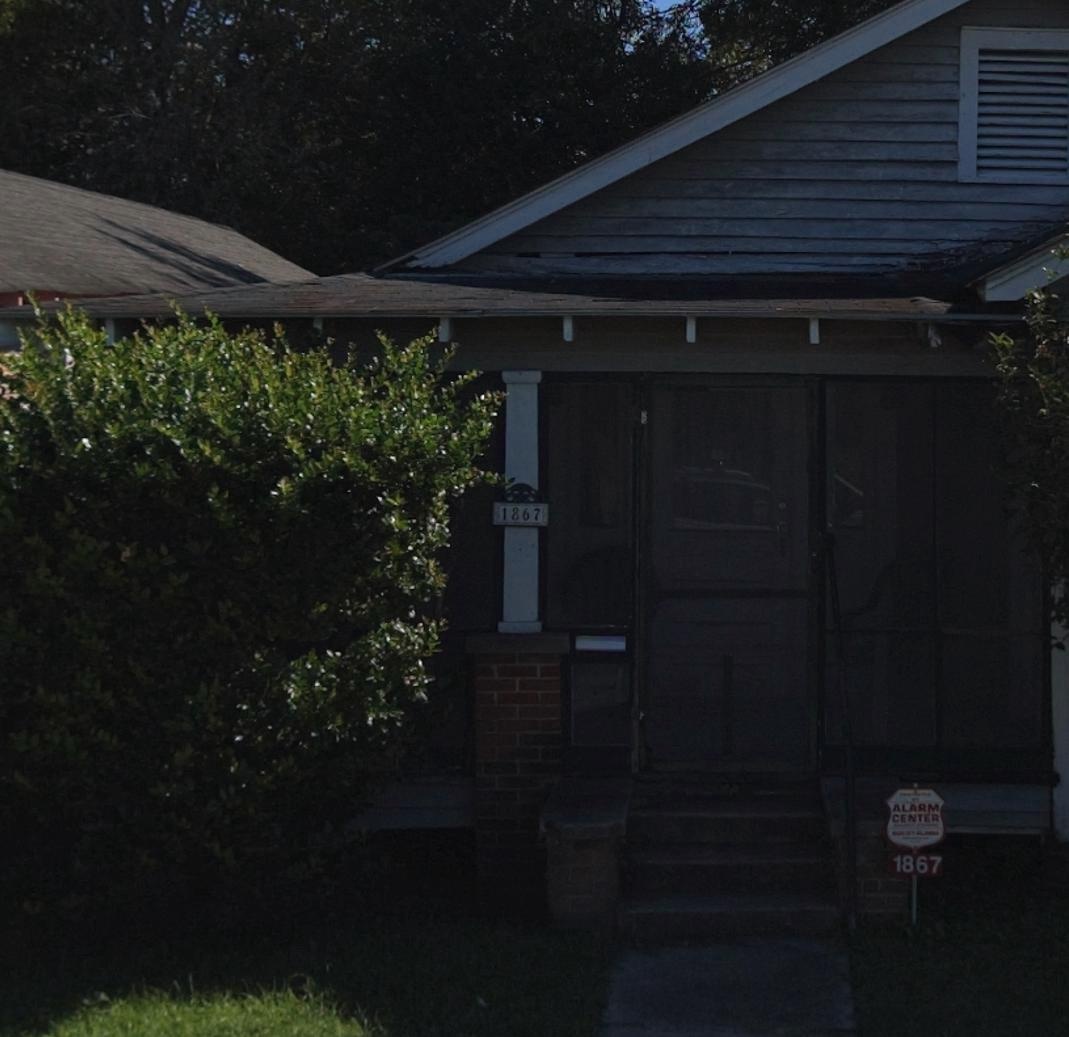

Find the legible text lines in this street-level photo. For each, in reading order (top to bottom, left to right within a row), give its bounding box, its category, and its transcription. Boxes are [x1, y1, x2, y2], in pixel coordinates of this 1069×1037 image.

[499, 505, 543, 524] StreetNumber: 1867
[890, 801, 941, 815] None: ALARM
[889, 812, 941, 825] None: CENTER
[890, 851, 946, 875] StreetNumber: 1867